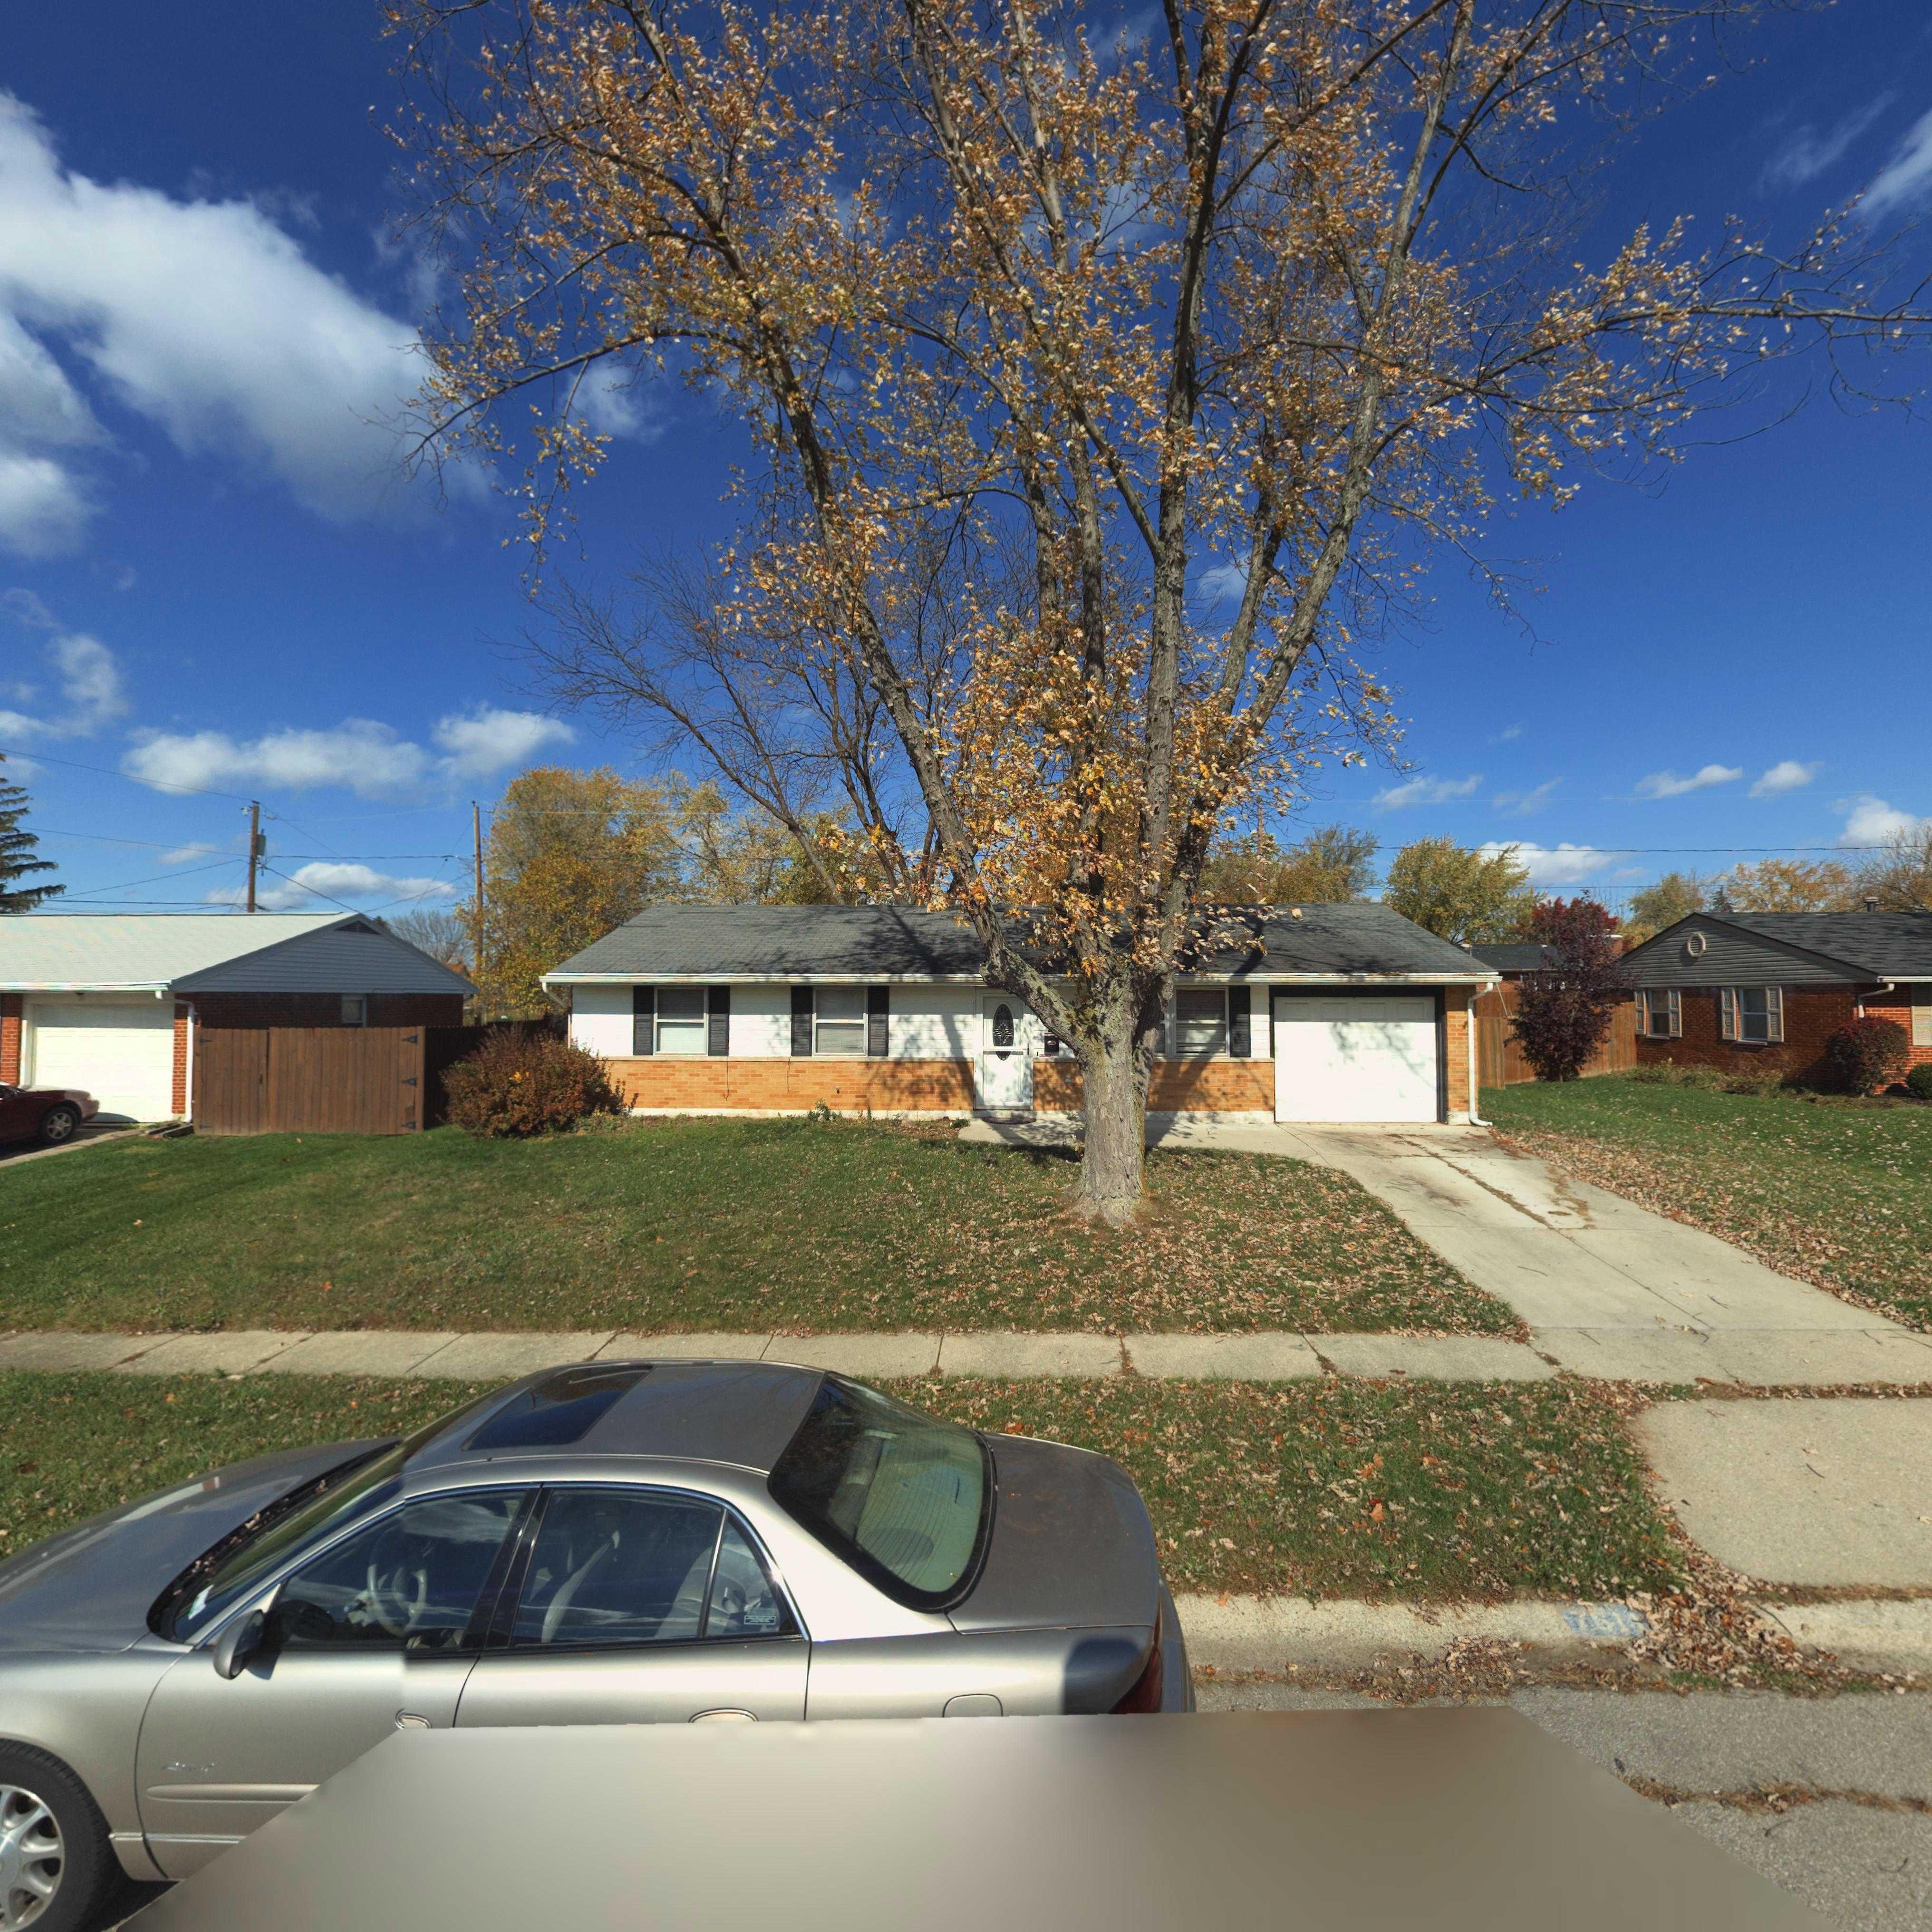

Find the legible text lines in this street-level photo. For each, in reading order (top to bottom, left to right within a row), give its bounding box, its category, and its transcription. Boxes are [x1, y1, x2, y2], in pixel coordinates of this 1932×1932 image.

[1566, 1608, 1653, 1636] StreetNumber: 7611